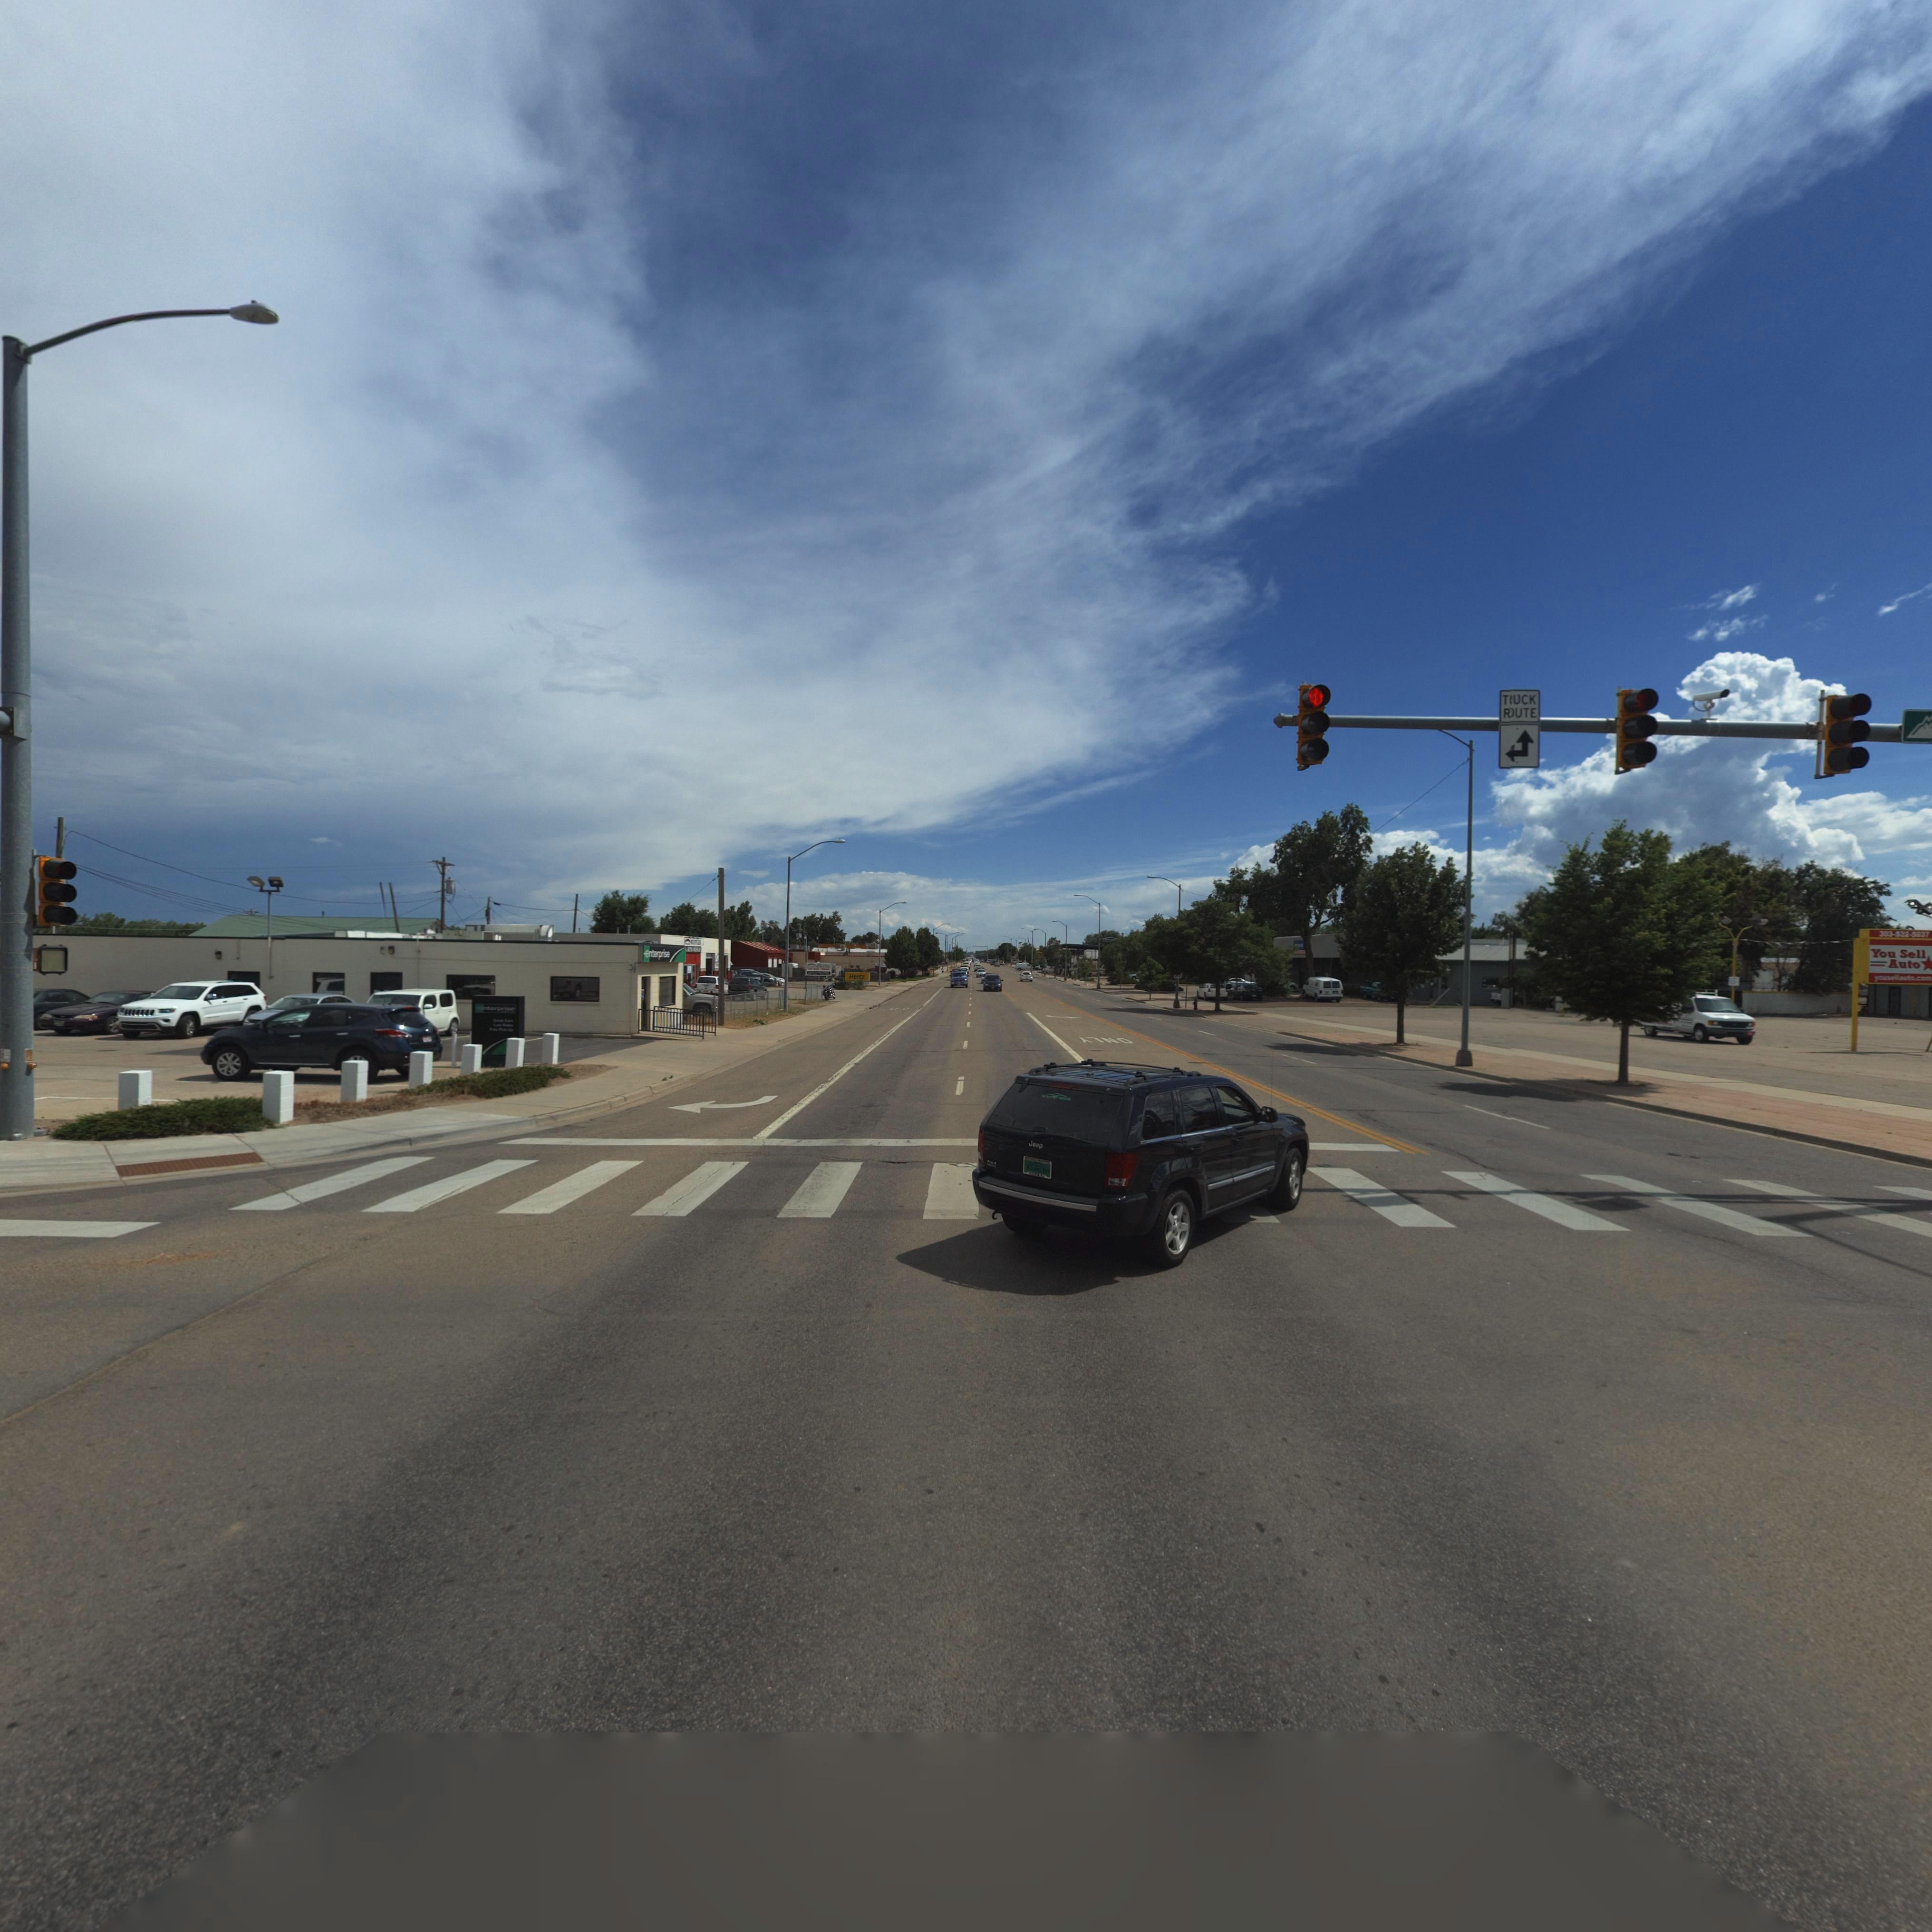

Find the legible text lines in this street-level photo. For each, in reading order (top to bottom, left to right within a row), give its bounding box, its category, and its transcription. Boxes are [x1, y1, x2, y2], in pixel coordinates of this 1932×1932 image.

[643, 948, 670, 960] BusinessName: enterprise
[1870, 948, 1926, 958] BusinessName: You Sell
[1887, 958, 1921, 969] BusinessName: Auto
[849, 973, 866, 980] BusinessName: Hertz
[478, 1005, 515, 1011] BusinessName: Enterprise